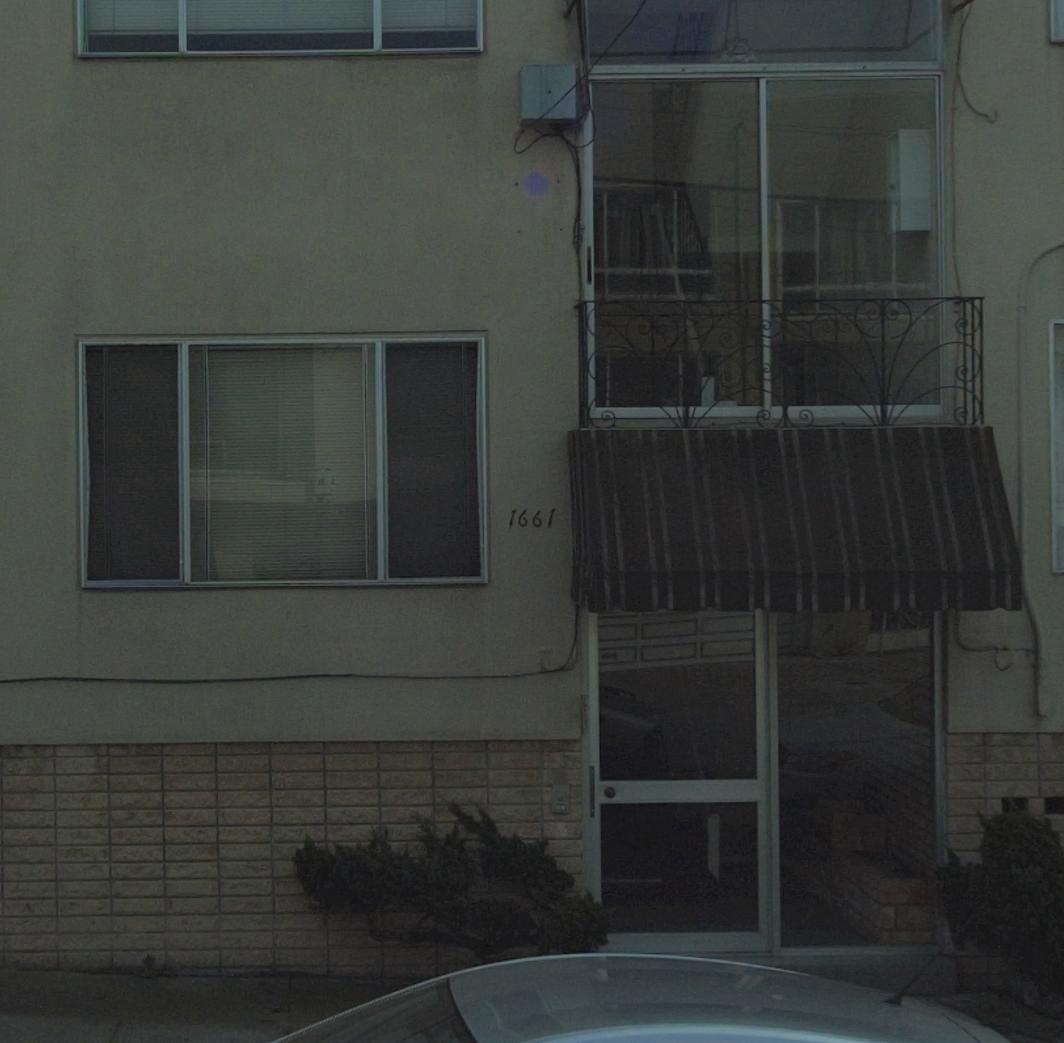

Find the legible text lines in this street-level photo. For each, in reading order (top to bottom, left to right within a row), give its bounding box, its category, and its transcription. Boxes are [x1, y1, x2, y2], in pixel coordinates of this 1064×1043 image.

[505, 504, 560, 532] StreetNumber: 1661